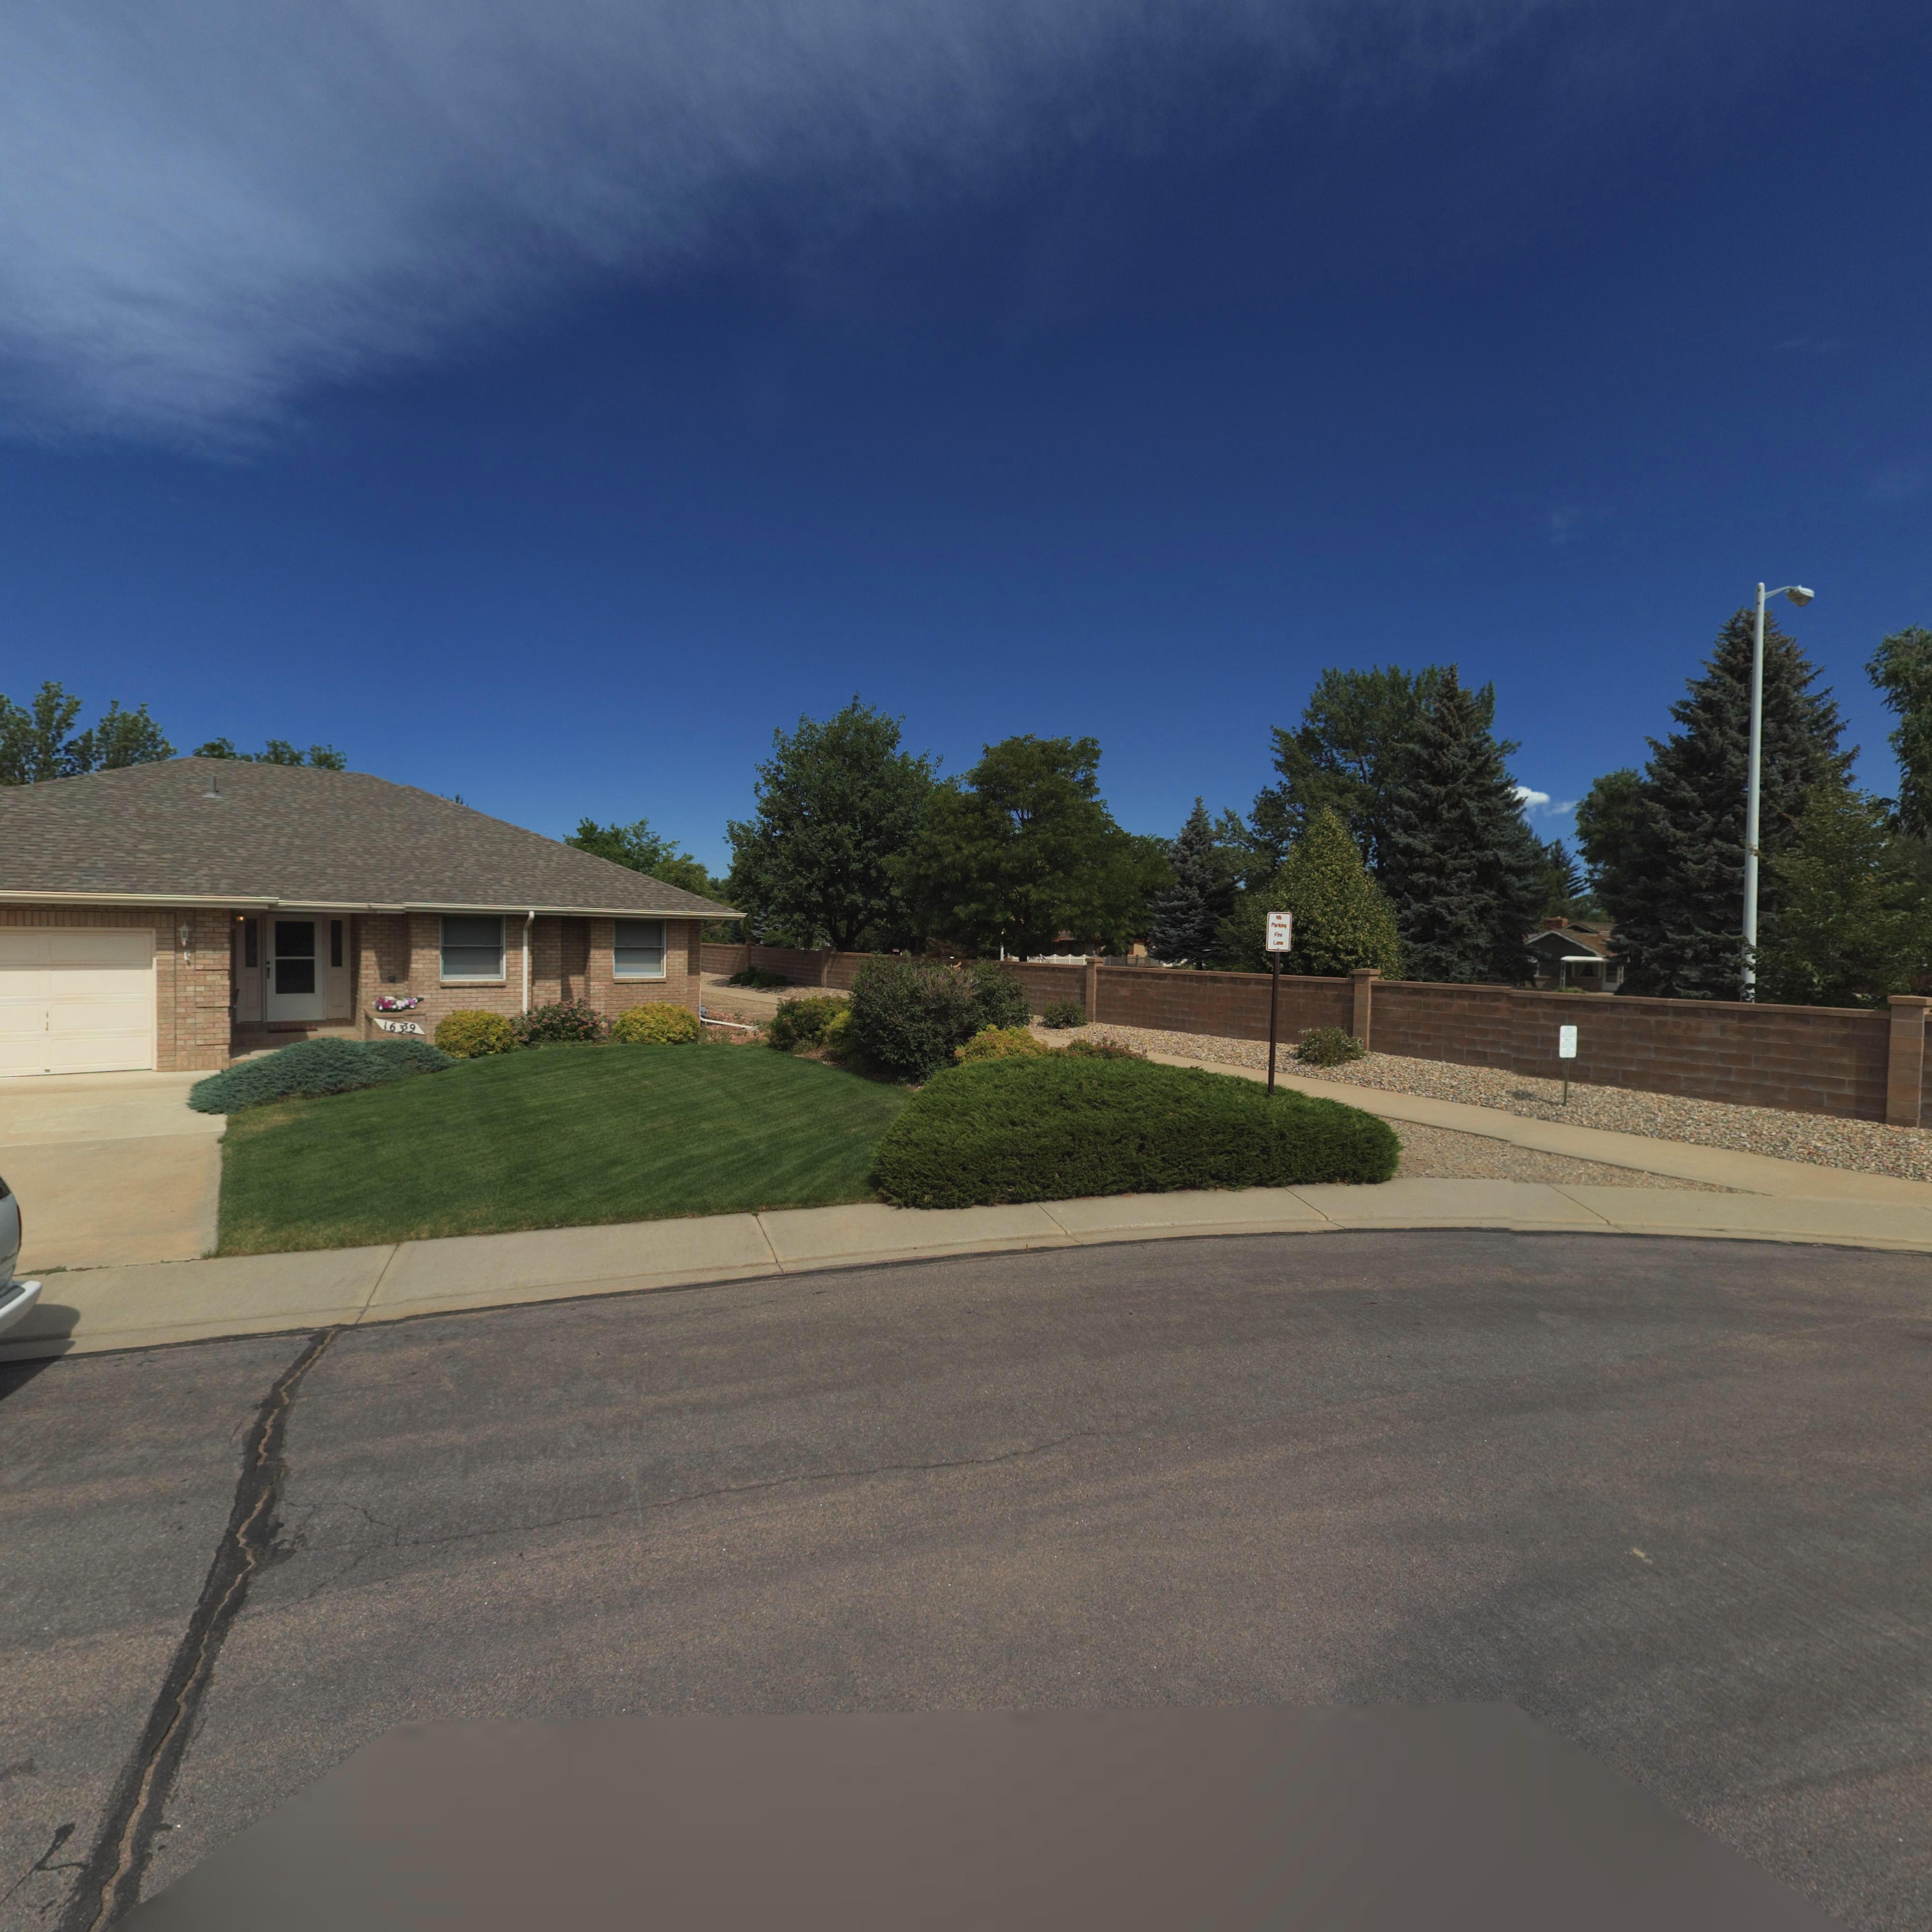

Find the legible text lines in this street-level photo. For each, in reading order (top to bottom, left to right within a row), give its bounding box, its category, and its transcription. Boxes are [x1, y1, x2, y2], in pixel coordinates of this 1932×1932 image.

[383, 1021, 415, 1034] StreetNumber: 163*9